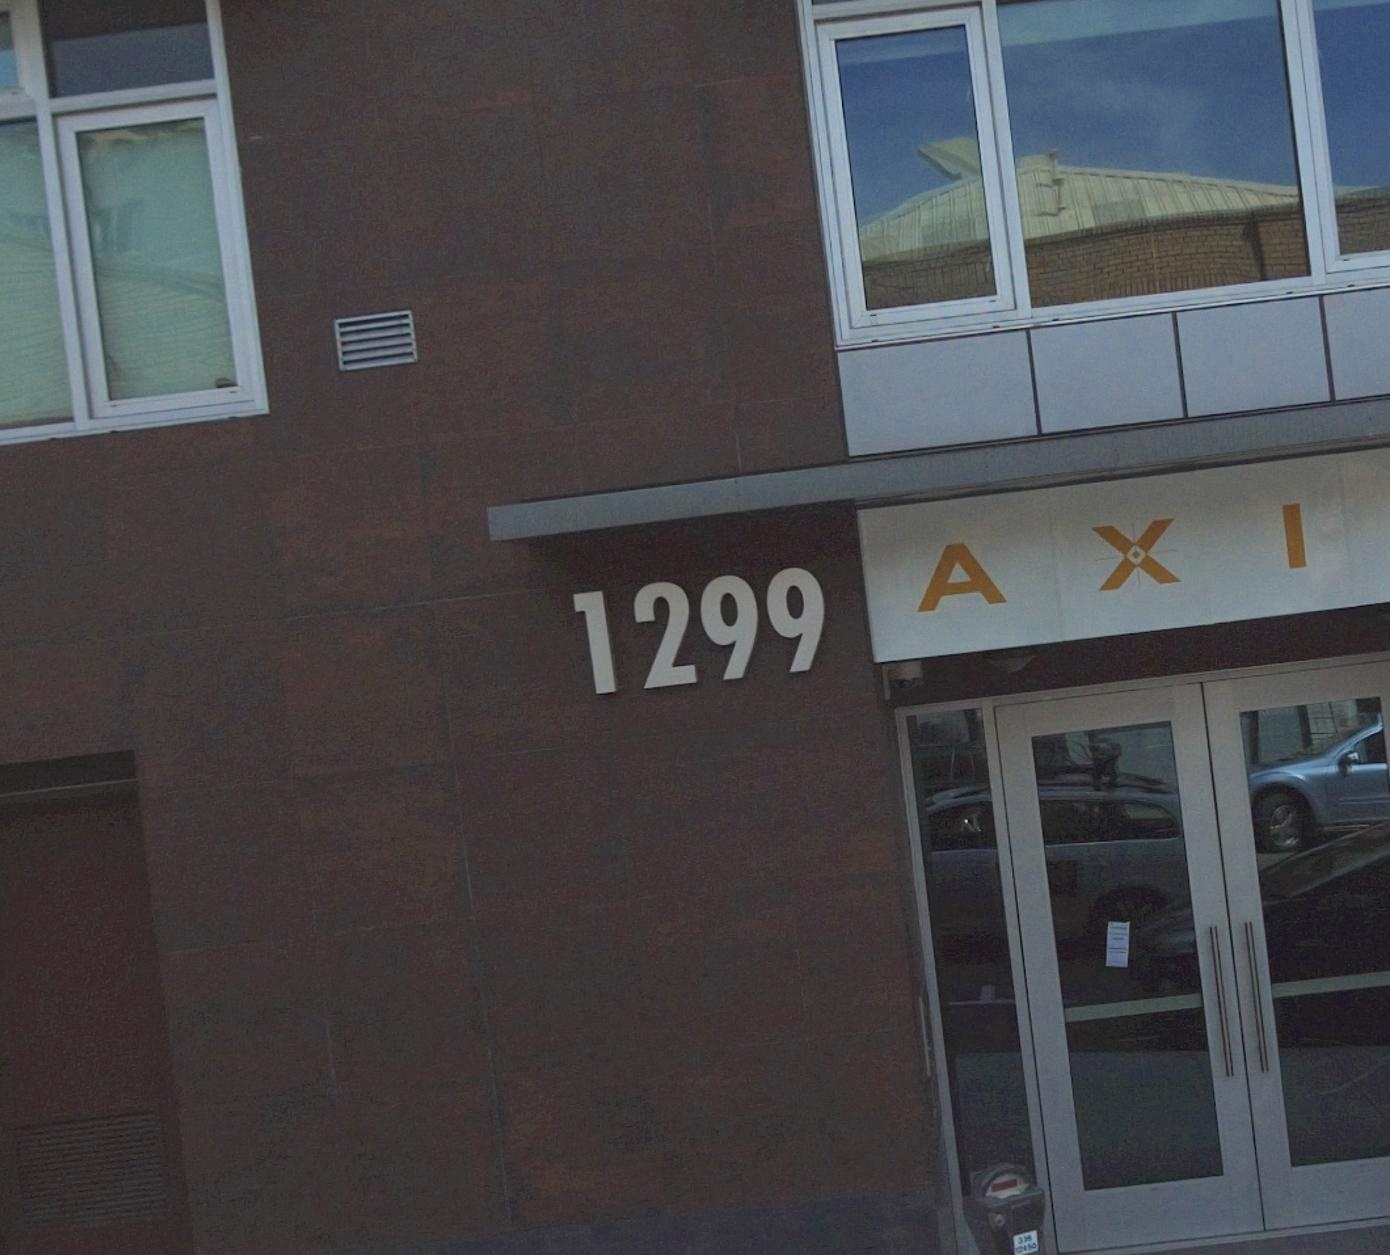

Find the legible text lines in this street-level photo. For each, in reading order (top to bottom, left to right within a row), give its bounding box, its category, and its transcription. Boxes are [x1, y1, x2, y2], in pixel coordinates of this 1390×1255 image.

[911, 498, 1315, 617] BusinessName: A X I
[569, 559, 829, 701] StreetNumber: 1299